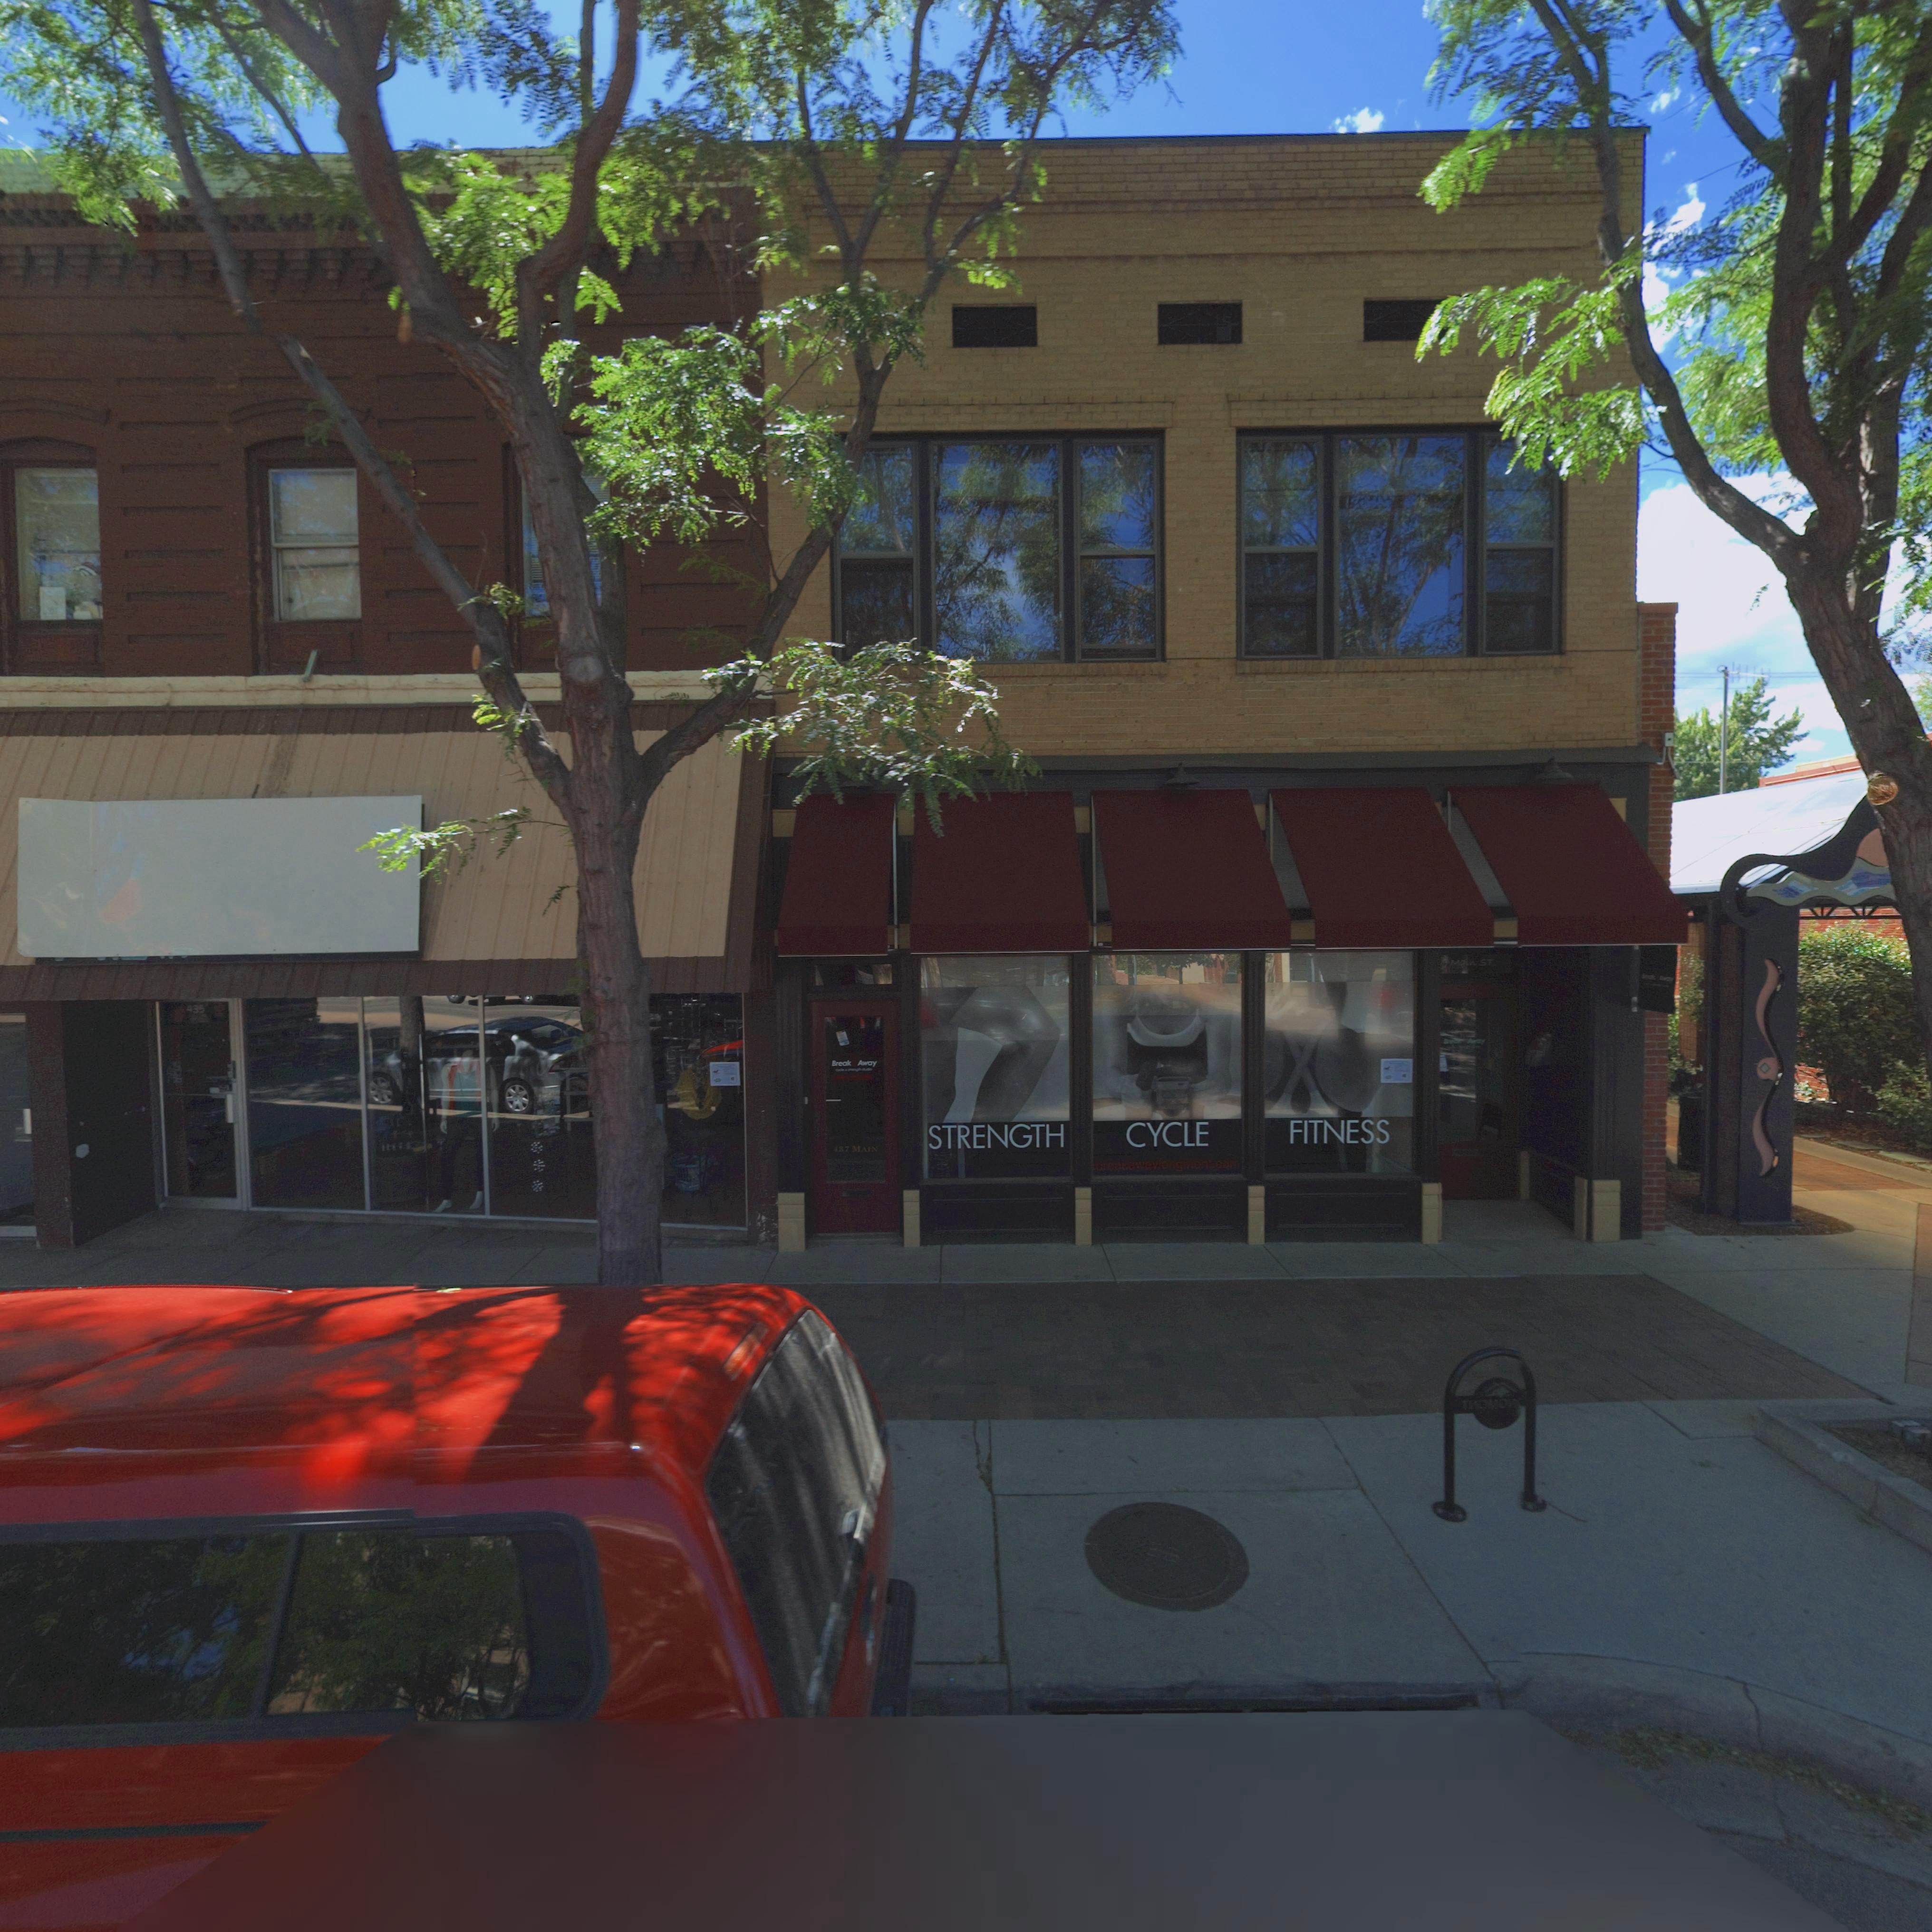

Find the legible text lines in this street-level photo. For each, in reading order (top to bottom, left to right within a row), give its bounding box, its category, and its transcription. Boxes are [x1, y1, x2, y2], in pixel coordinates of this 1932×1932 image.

[1448, 958, 1494, 966] StreetName: Main ST
[1641, 973, 1675, 984] BusinessName: Break Away
[1443, 1037, 1487, 1045] BusinessName: Break Away
[831, 1060, 877, 1067] BusinessName: Break Away
[832, 1145, 849, 1153] StreetNumber: 437
[851, 1144, 879, 1153] StreetName: MAIN